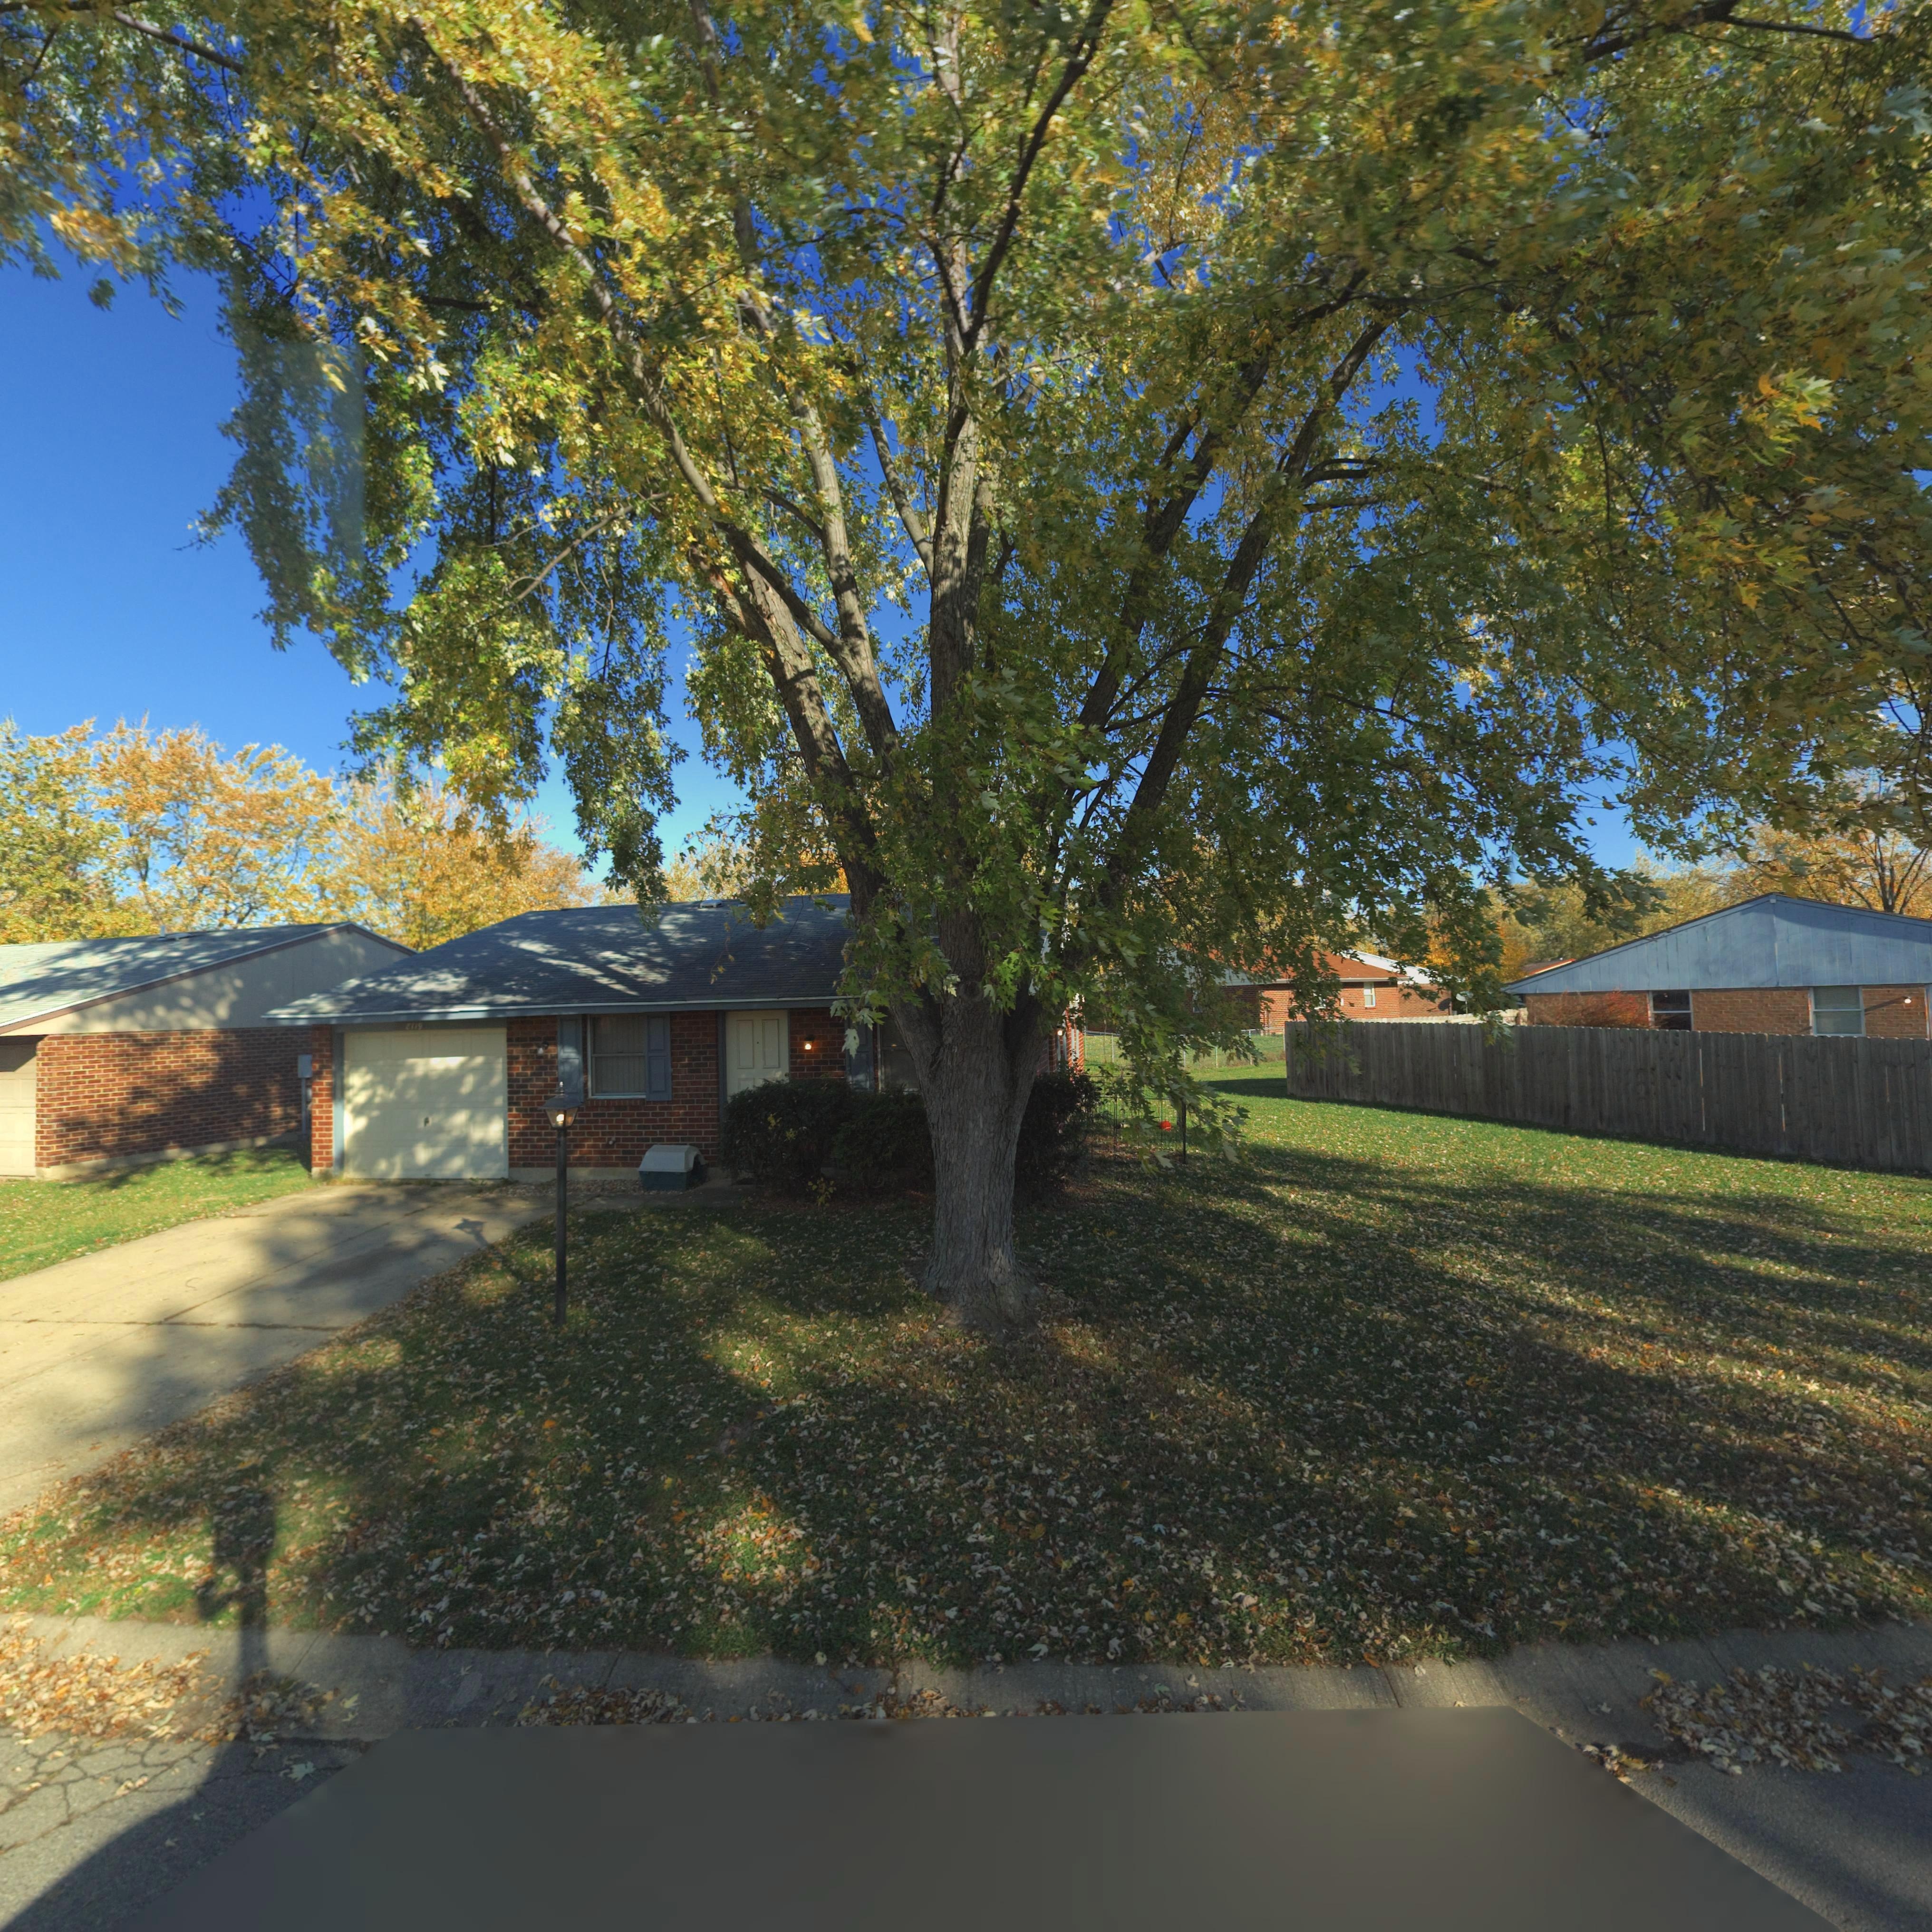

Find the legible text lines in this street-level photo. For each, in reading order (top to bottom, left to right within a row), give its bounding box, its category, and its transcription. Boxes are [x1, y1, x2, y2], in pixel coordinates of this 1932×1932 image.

[403, 1022, 424, 1032] StreetNumber: *119